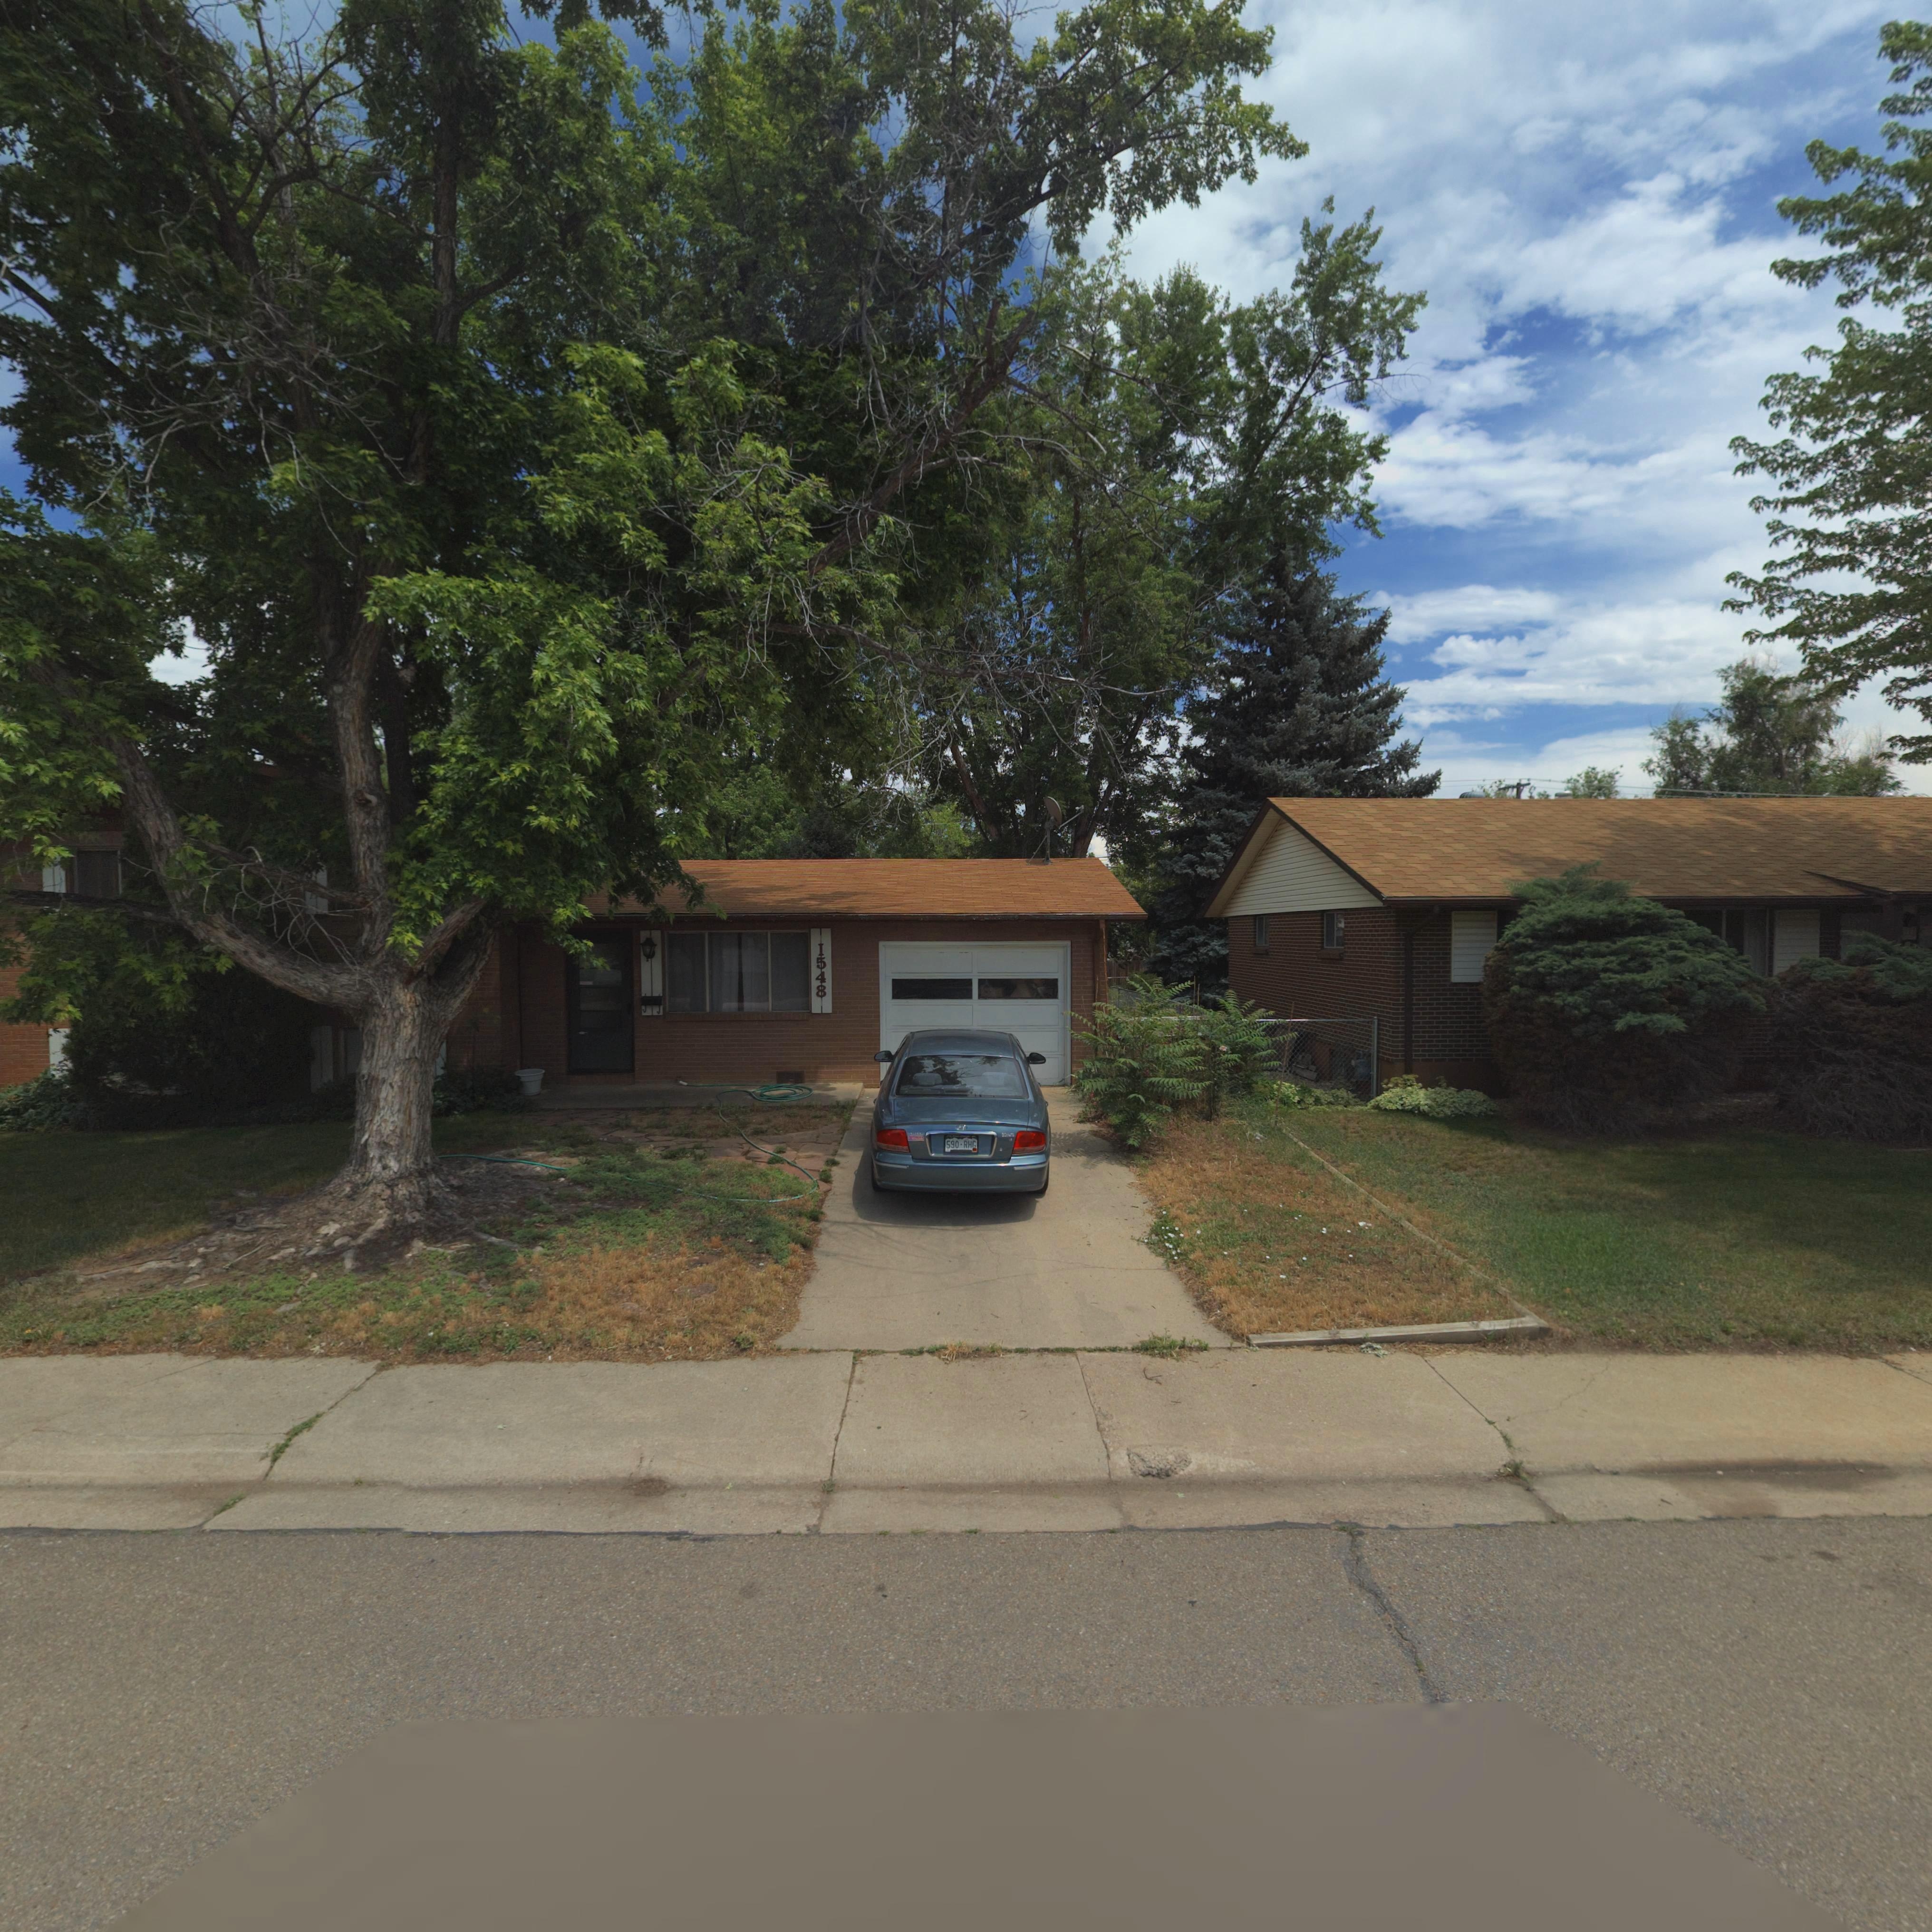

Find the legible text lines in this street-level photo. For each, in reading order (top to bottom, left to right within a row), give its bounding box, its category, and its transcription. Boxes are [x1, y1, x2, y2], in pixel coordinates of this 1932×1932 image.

[814, 943, 827, 998] StreetNumber: 1548